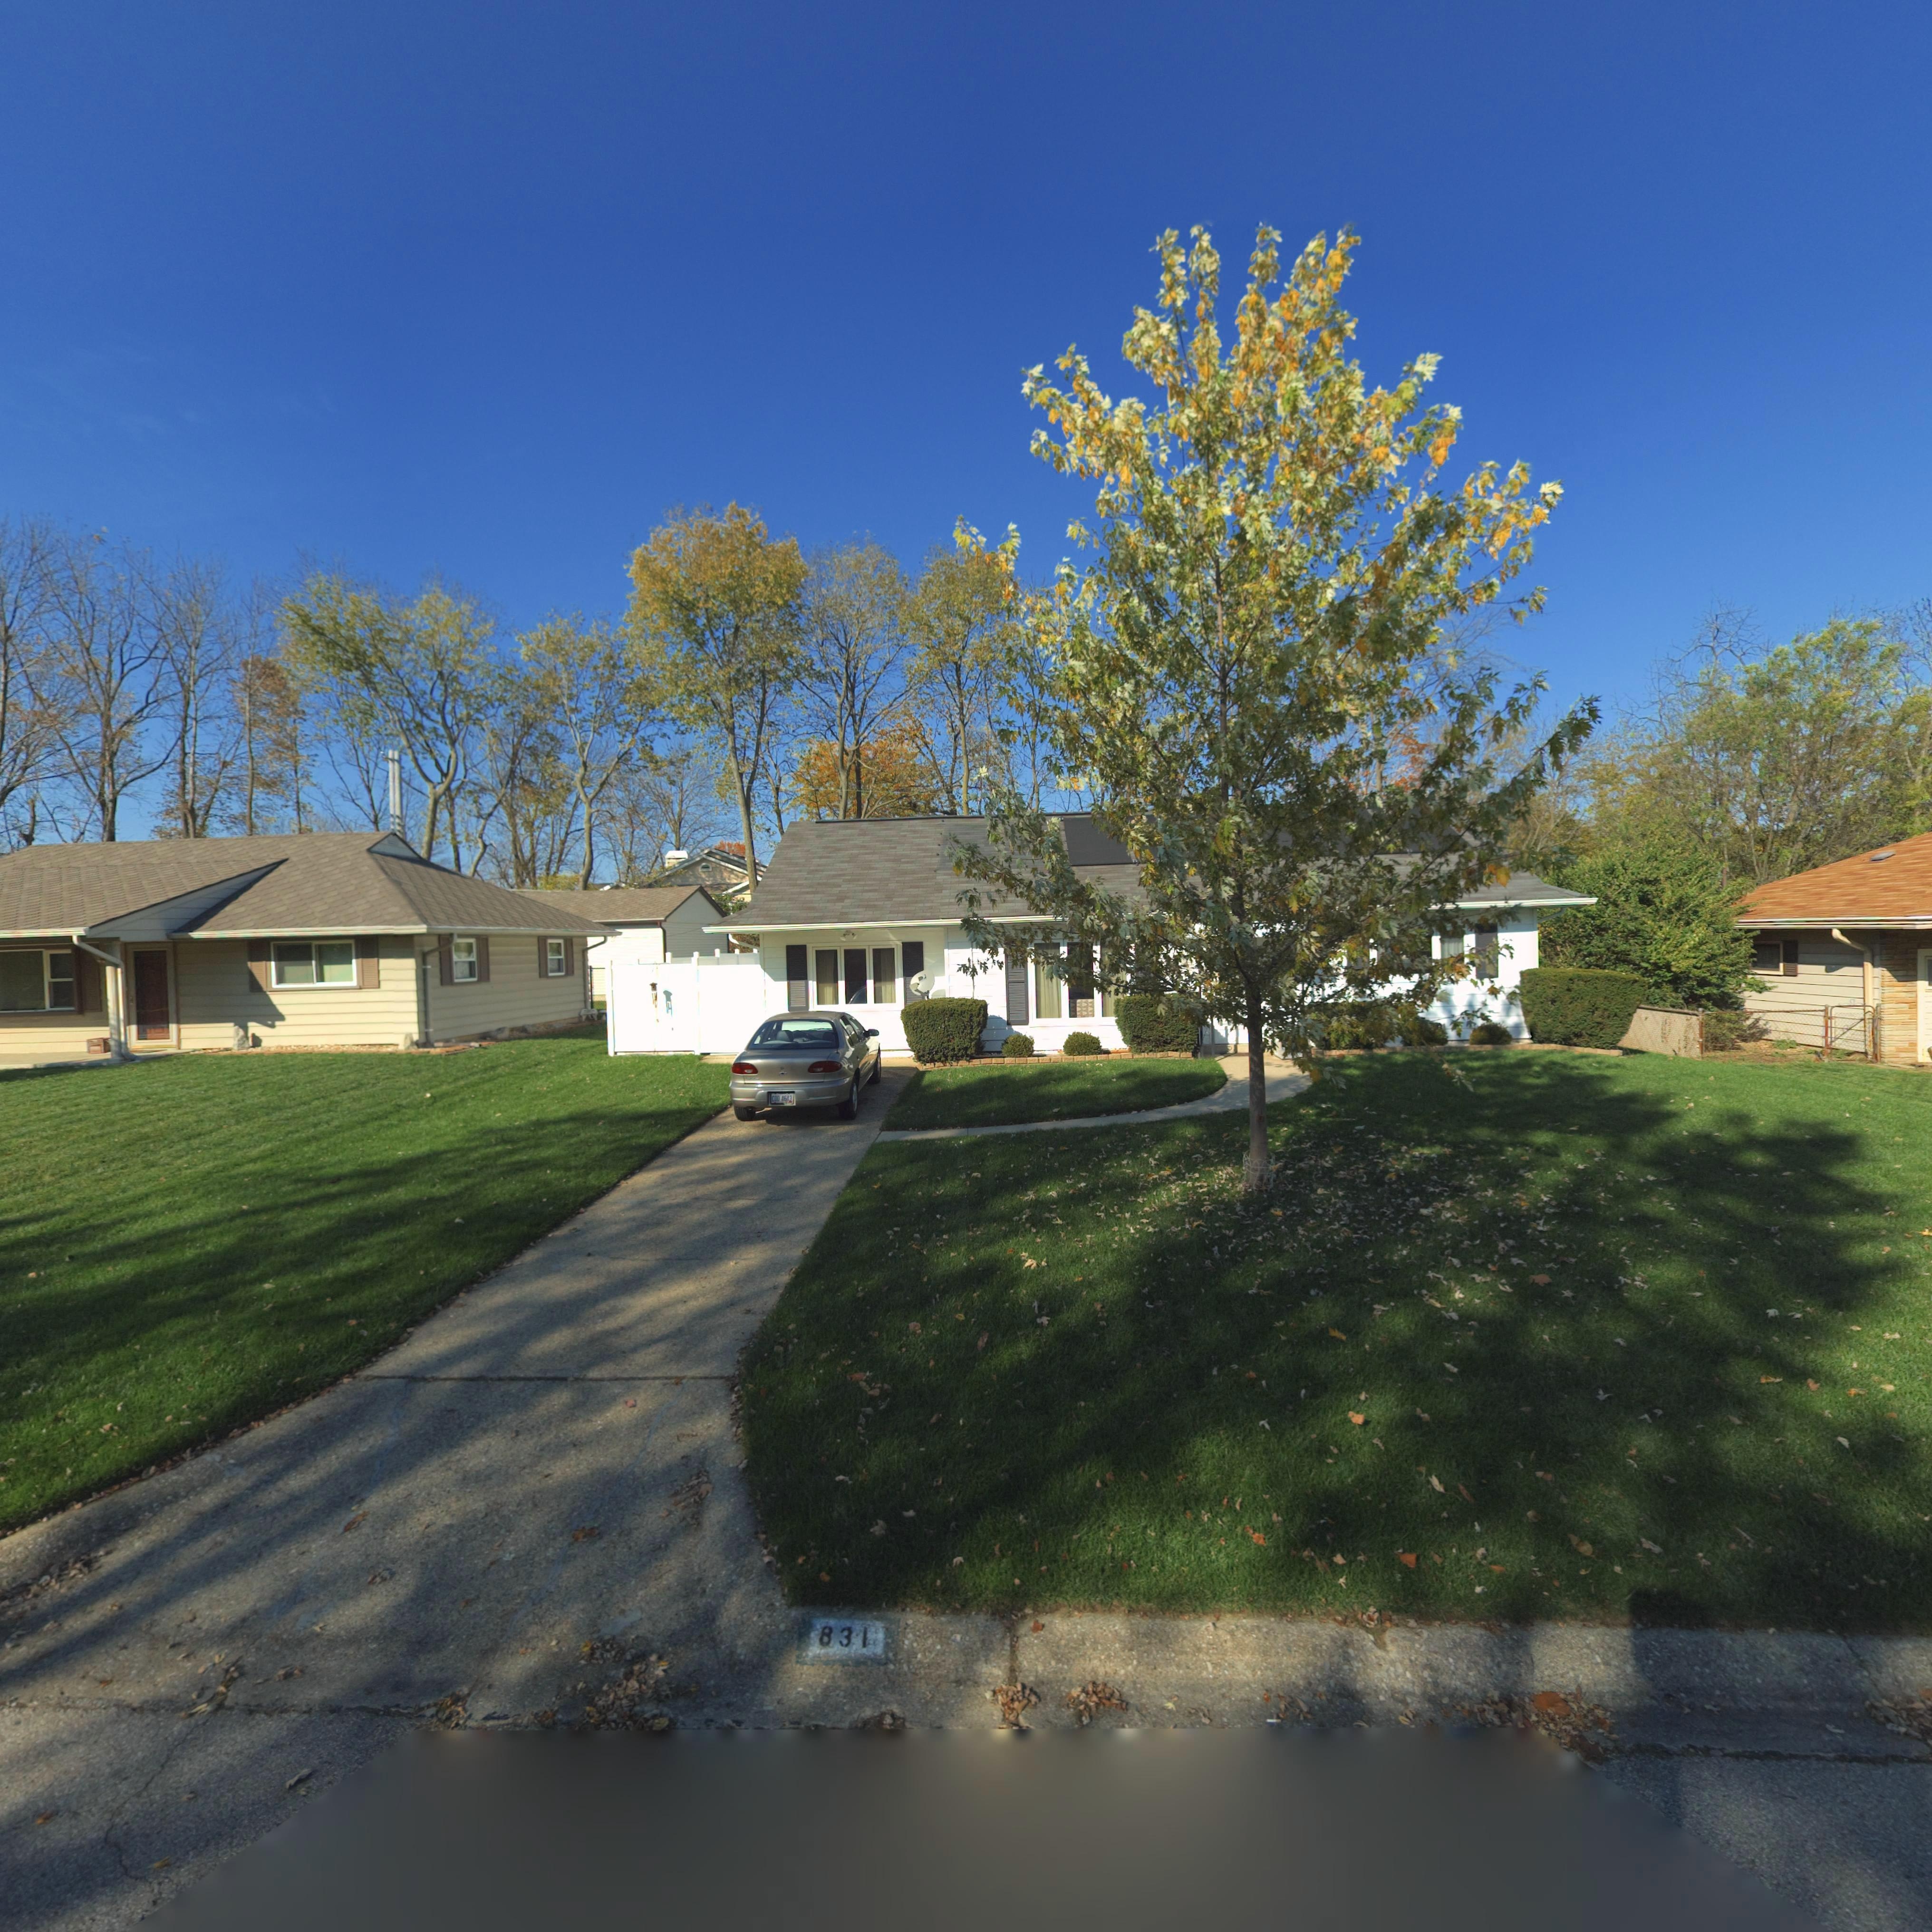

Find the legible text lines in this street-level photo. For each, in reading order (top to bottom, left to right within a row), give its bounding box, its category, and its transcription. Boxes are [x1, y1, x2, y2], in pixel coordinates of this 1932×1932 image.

[772, 1095, 792, 1102] None: COD 4643
[817, 1624, 869, 1649] StreetNumber: 831